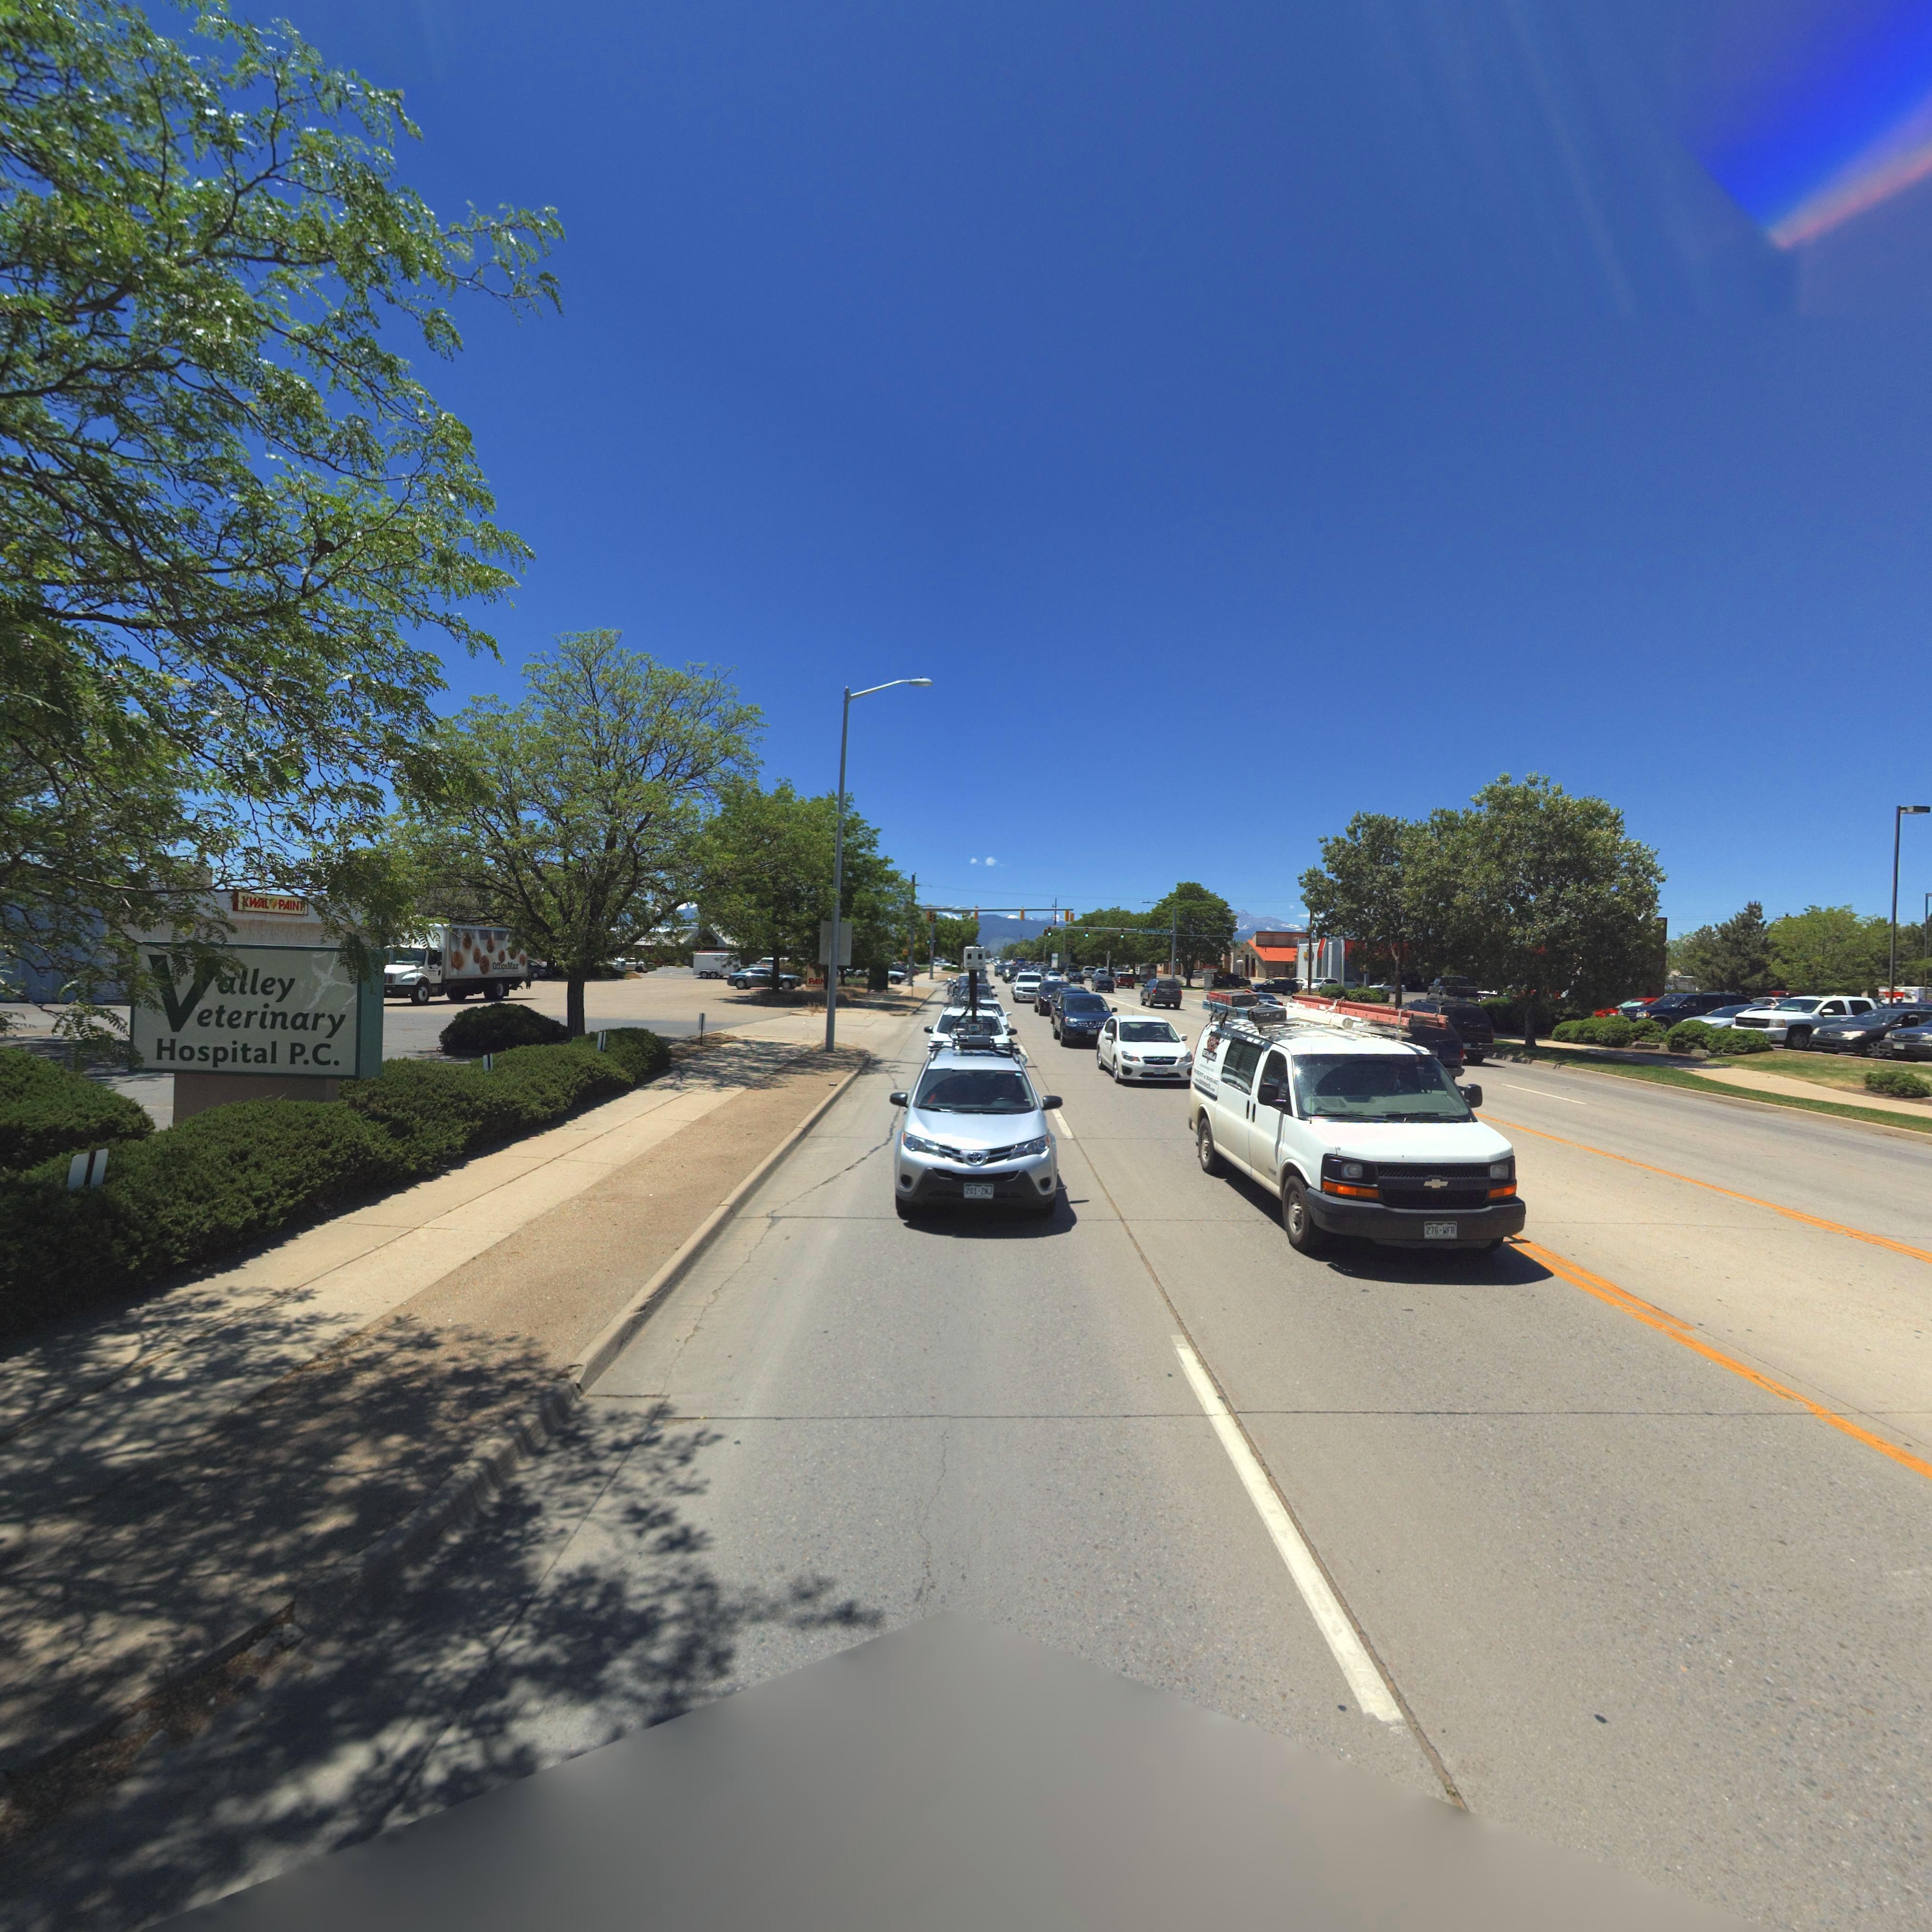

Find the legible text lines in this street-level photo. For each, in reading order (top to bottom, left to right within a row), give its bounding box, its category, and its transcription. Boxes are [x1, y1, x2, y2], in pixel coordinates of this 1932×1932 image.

[241, 895, 303, 911] BusinessName: *WAL PAIN*
[217, 966, 295, 1003] BusinessName: *lley
[808, 977, 824, 985] BusinessName: PAI*
[196, 1003, 347, 1039] BusinessName: eterintary
[156, 1038, 332, 1069] BusinessName: Hospital P.C